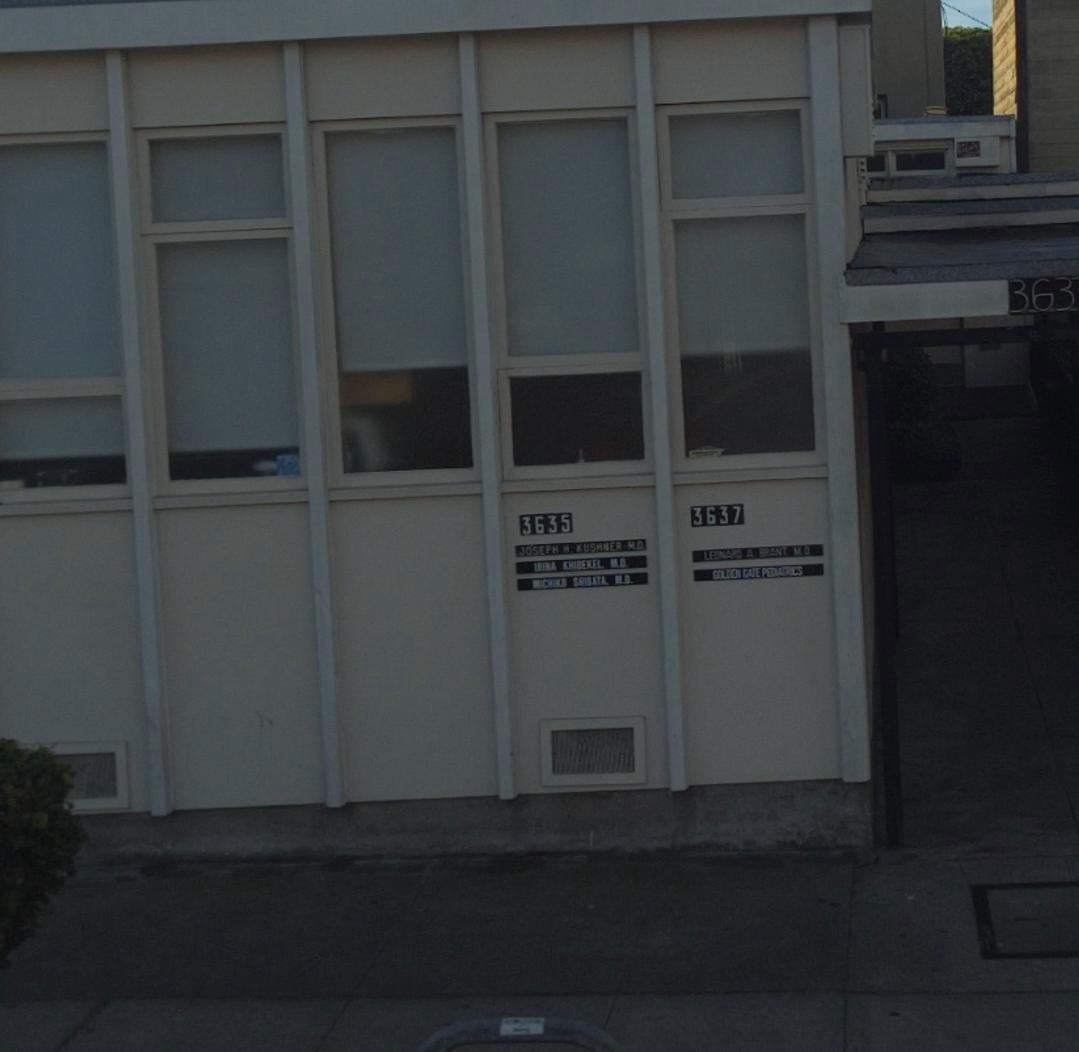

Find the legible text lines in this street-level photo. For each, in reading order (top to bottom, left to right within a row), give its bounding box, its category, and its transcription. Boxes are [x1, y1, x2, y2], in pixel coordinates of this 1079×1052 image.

[1006, 273, 1078, 316] StreetNumber: 363
[519, 512, 572, 537] StreetNumber: 3635
[690, 503, 744, 528] StreetNumber: 3637
[515, 538, 647, 558] None: JOSEPH H. KUSHNER M.D.
[608, 555, 631, 570] None: M.D.
[702, 543, 813, 563] None: LEONARD A BRANT M.D.
[612, 571, 636, 587] None: M.D.
[709, 563, 806, 583] BusinessName: GOLDEN GATE PEDIATRICS